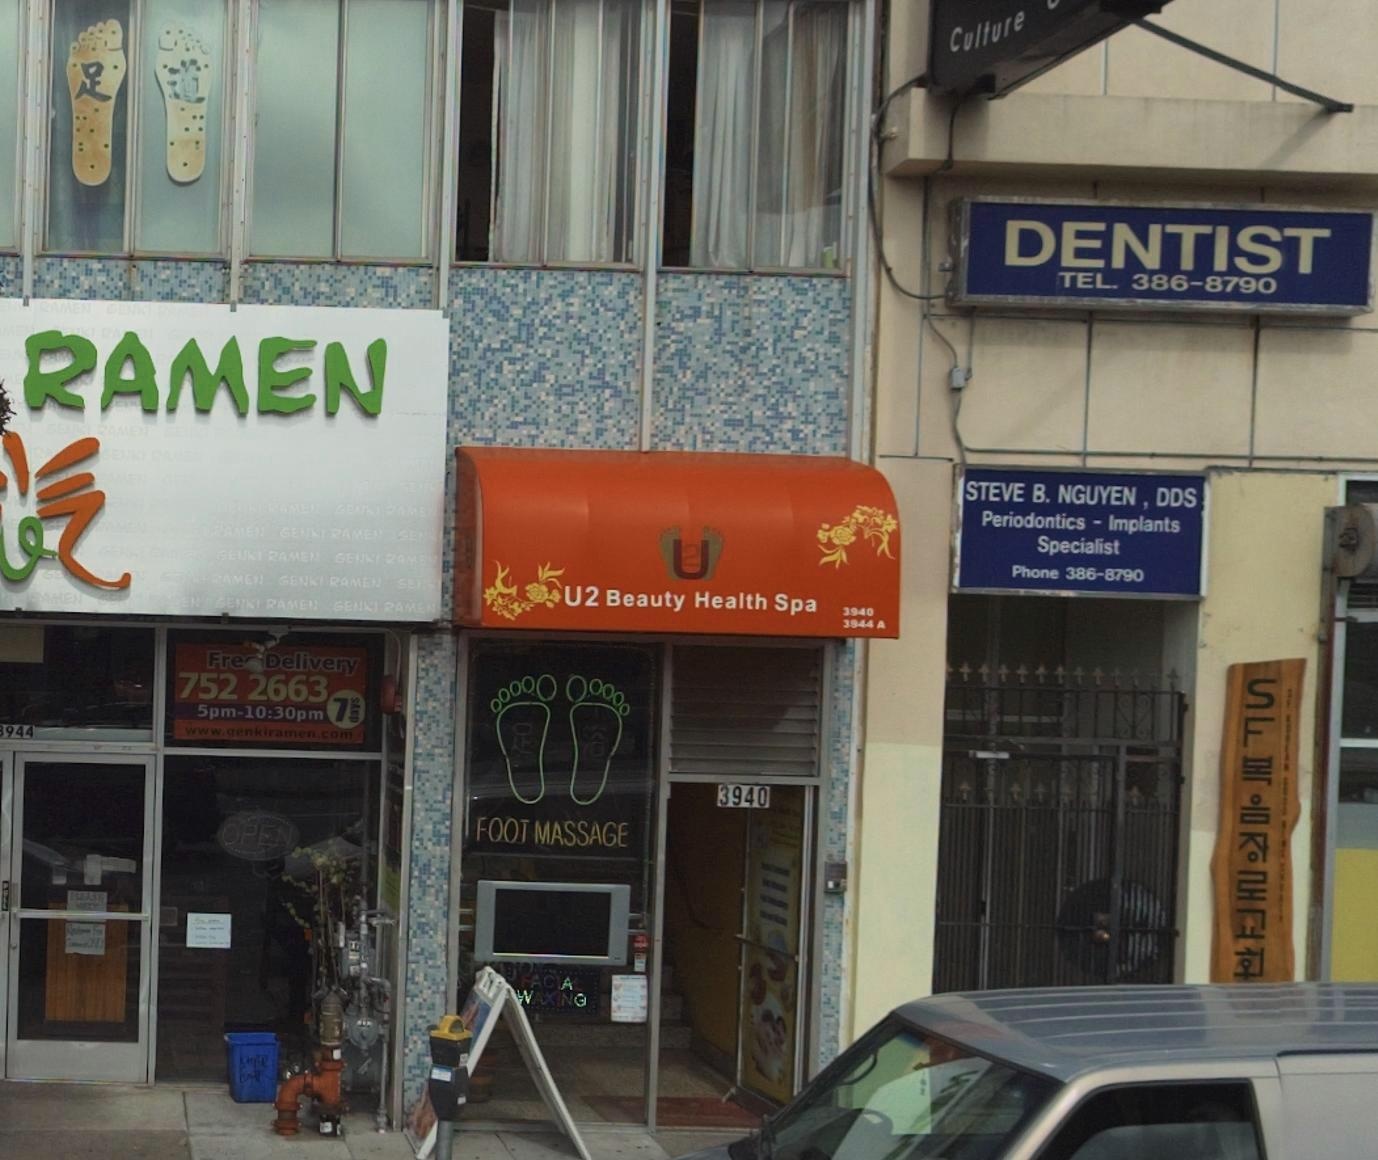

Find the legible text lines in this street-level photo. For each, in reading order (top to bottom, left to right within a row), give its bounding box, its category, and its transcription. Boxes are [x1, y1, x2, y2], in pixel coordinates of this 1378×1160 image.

[945, 6, 1028, 58] None: Culture
[1001, 217, 1335, 278] None: DENTIST
[1053, 270, 1283, 302] None: TEL. 386-8790
[35, 300, 212, 320] None: RAMEN GENKI RAMEN
[21, 325, 387, 421] BusinessName: RAMEN
[42, 420, 212, 443] None: GENKI RAMEN GENKI
[94, 446, 206, 465] None: GENKI RAMEN
[110, 470, 190, 489] None: EMN GE
[397, 478, 430, 498] None: GEN
[963, 478, 1199, 513] BusinessName: STEVE B. NGUYEN, DDSS
[95, 541, 441, 568] None: GENKI RAMEN GENKI RAMEN GENKI RAMEN
[109, 519, 442, 546] None: MEN ***** RAMEN GENKI RAMEN GENKI
[264, 500, 440, 522] None: RAMEN GENKI RAMEN
[1032, 532, 1124, 560] None: Specialist
[978, 506, 1183, 538] None: Perodontics - Implants
[38, 565, 66, 581] None: GE
[209, 570, 429, 594] None: RAMEN GENKI RAMEN GE*
[1009, 562, 1146, 586] None: Phone 386-8790
[22, 587, 443, 619] None: RAMEN GEN** ***EN GENKI RAMEN GENKI RAMEN
[563, 584, 819, 617] BusinessName: U2 Beauty Health Spa
[841, 605, 876, 620] None: 3940
[836, 617, 889, 631] None: 3944 A
[202, 648, 362, 680] None: Fre* Delivery
[175, 668, 332, 706] None: 752 2663
[195, 702, 326, 725] None: 5pm-10:30pm
[330, 695, 351, 725] None: 7
[344, 695, 362, 725] None: days
[1241, 672, 1282, 755] None: SF
[3, 724, 35, 741] StreetNumber: 944
[183, 723, 354, 742] None: www.genkiramen.com
[717, 783, 770, 808] StreetNumber: 3940
[218, 821, 300, 849] None: OPEN
[473, 815, 634, 852] None: FOOT MASSAGE
[517, 971, 586, 994] None: FACIAL
[513, 988, 587, 1011] None: WAXING